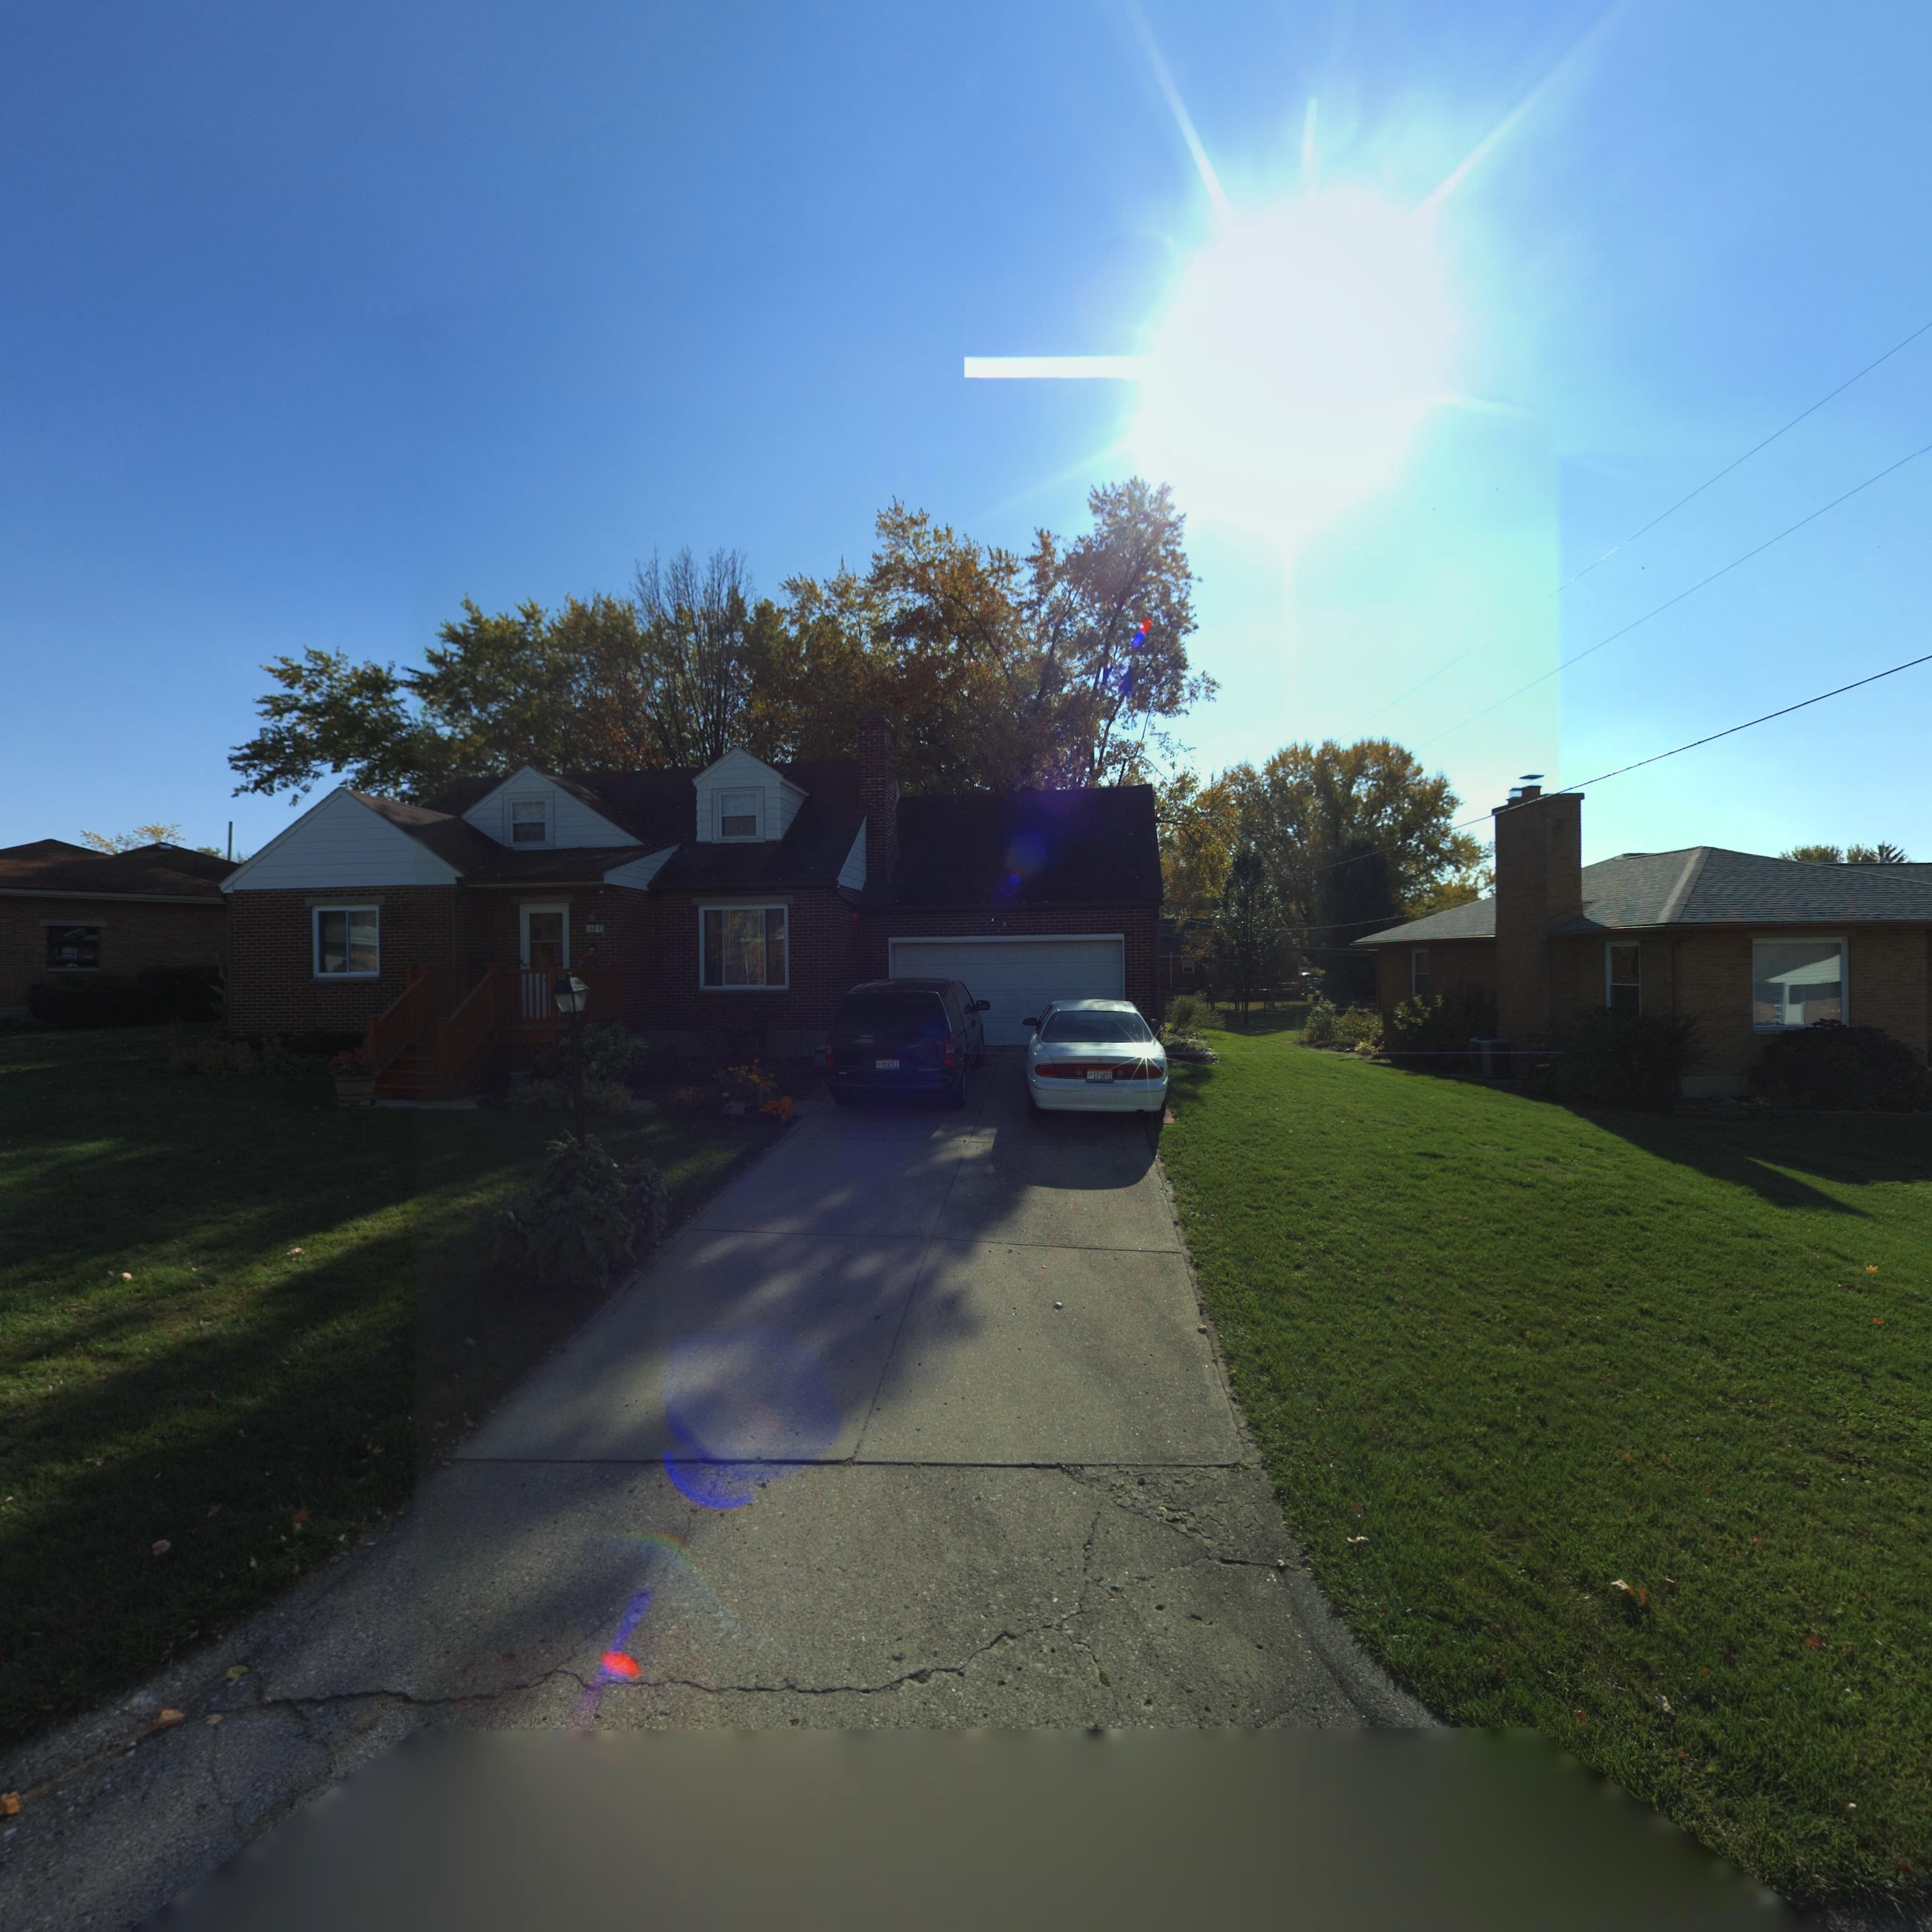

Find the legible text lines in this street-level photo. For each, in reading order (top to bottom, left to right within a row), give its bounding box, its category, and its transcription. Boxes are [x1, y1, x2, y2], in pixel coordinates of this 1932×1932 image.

[589, 925, 601, 932] StreetNumber: 644
[881, 1061, 898, 1068] None: D*47LL
[916, 1068, 941, 1072] None: *HEV*OLET
[1093, 1072, 1112, 1079] None: EF58YZ